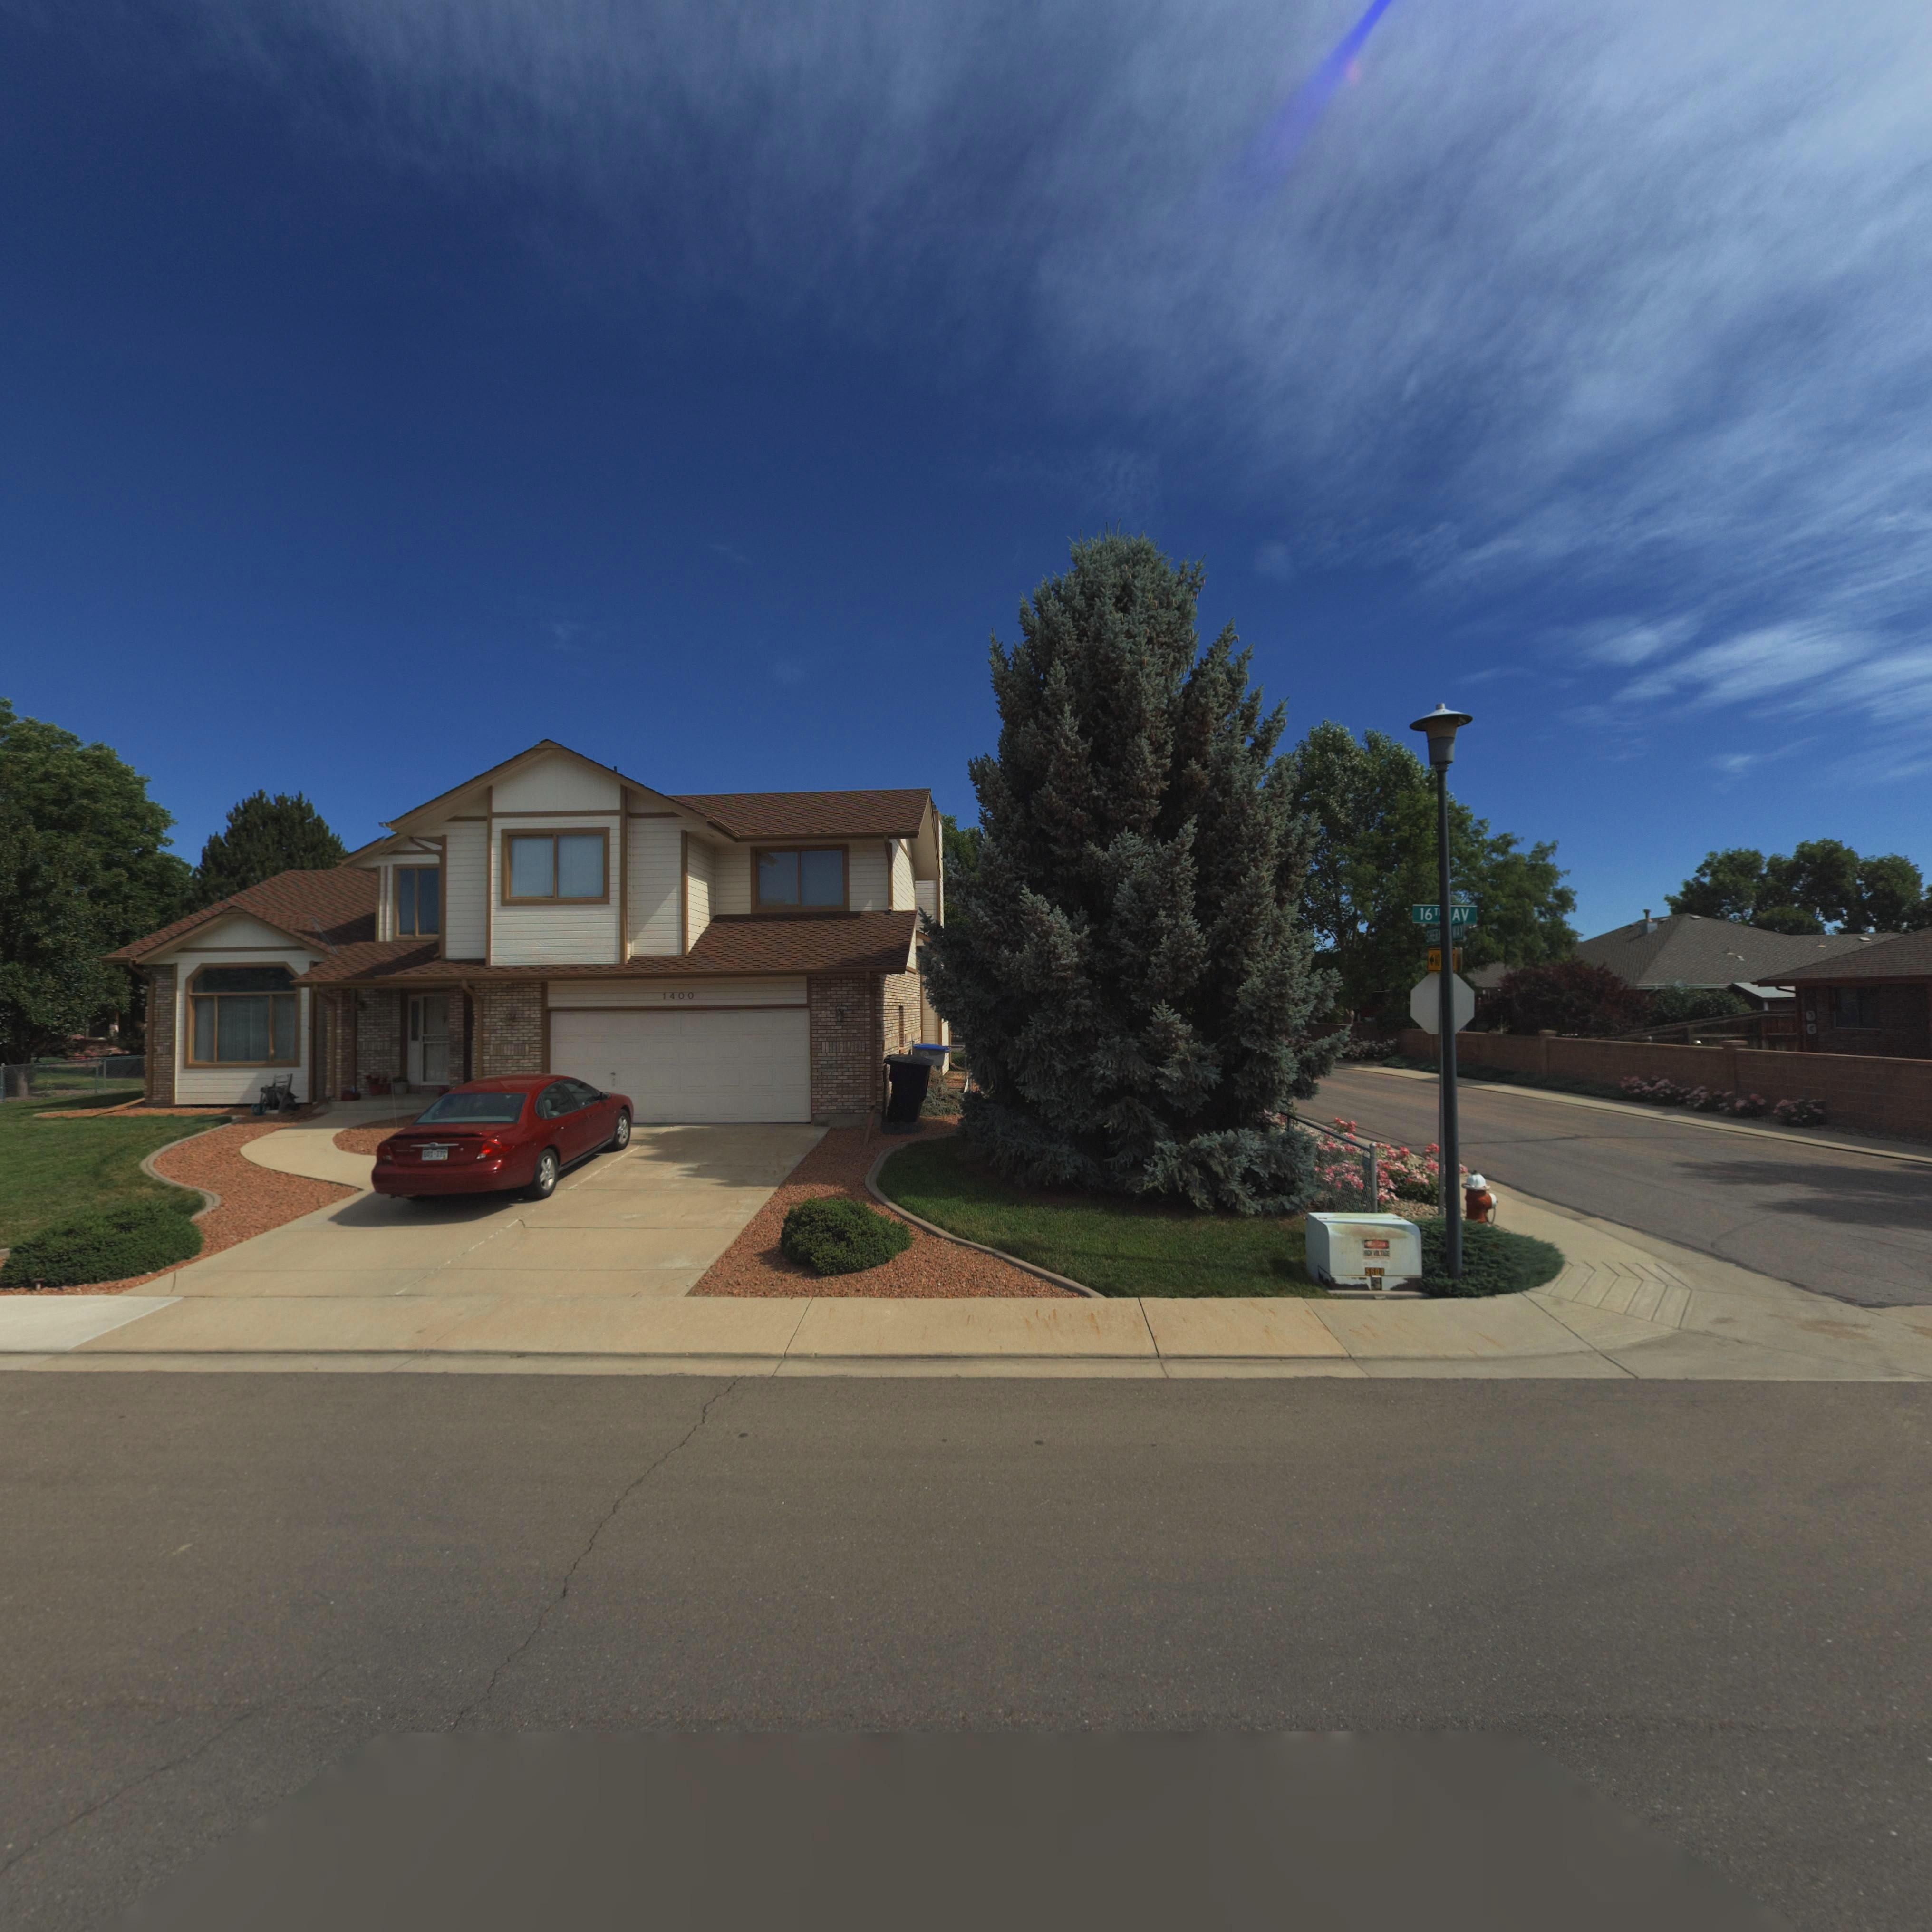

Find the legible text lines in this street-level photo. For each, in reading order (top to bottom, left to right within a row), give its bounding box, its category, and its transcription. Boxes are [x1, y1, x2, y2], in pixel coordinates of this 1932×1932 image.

[1420, 907, 1470, 922] StreetName: 16T* AV
[1425, 923, 1464, 943] StreetName: SHER* WAY
[662, 991, 694, 1000] StreetNumber: 1400